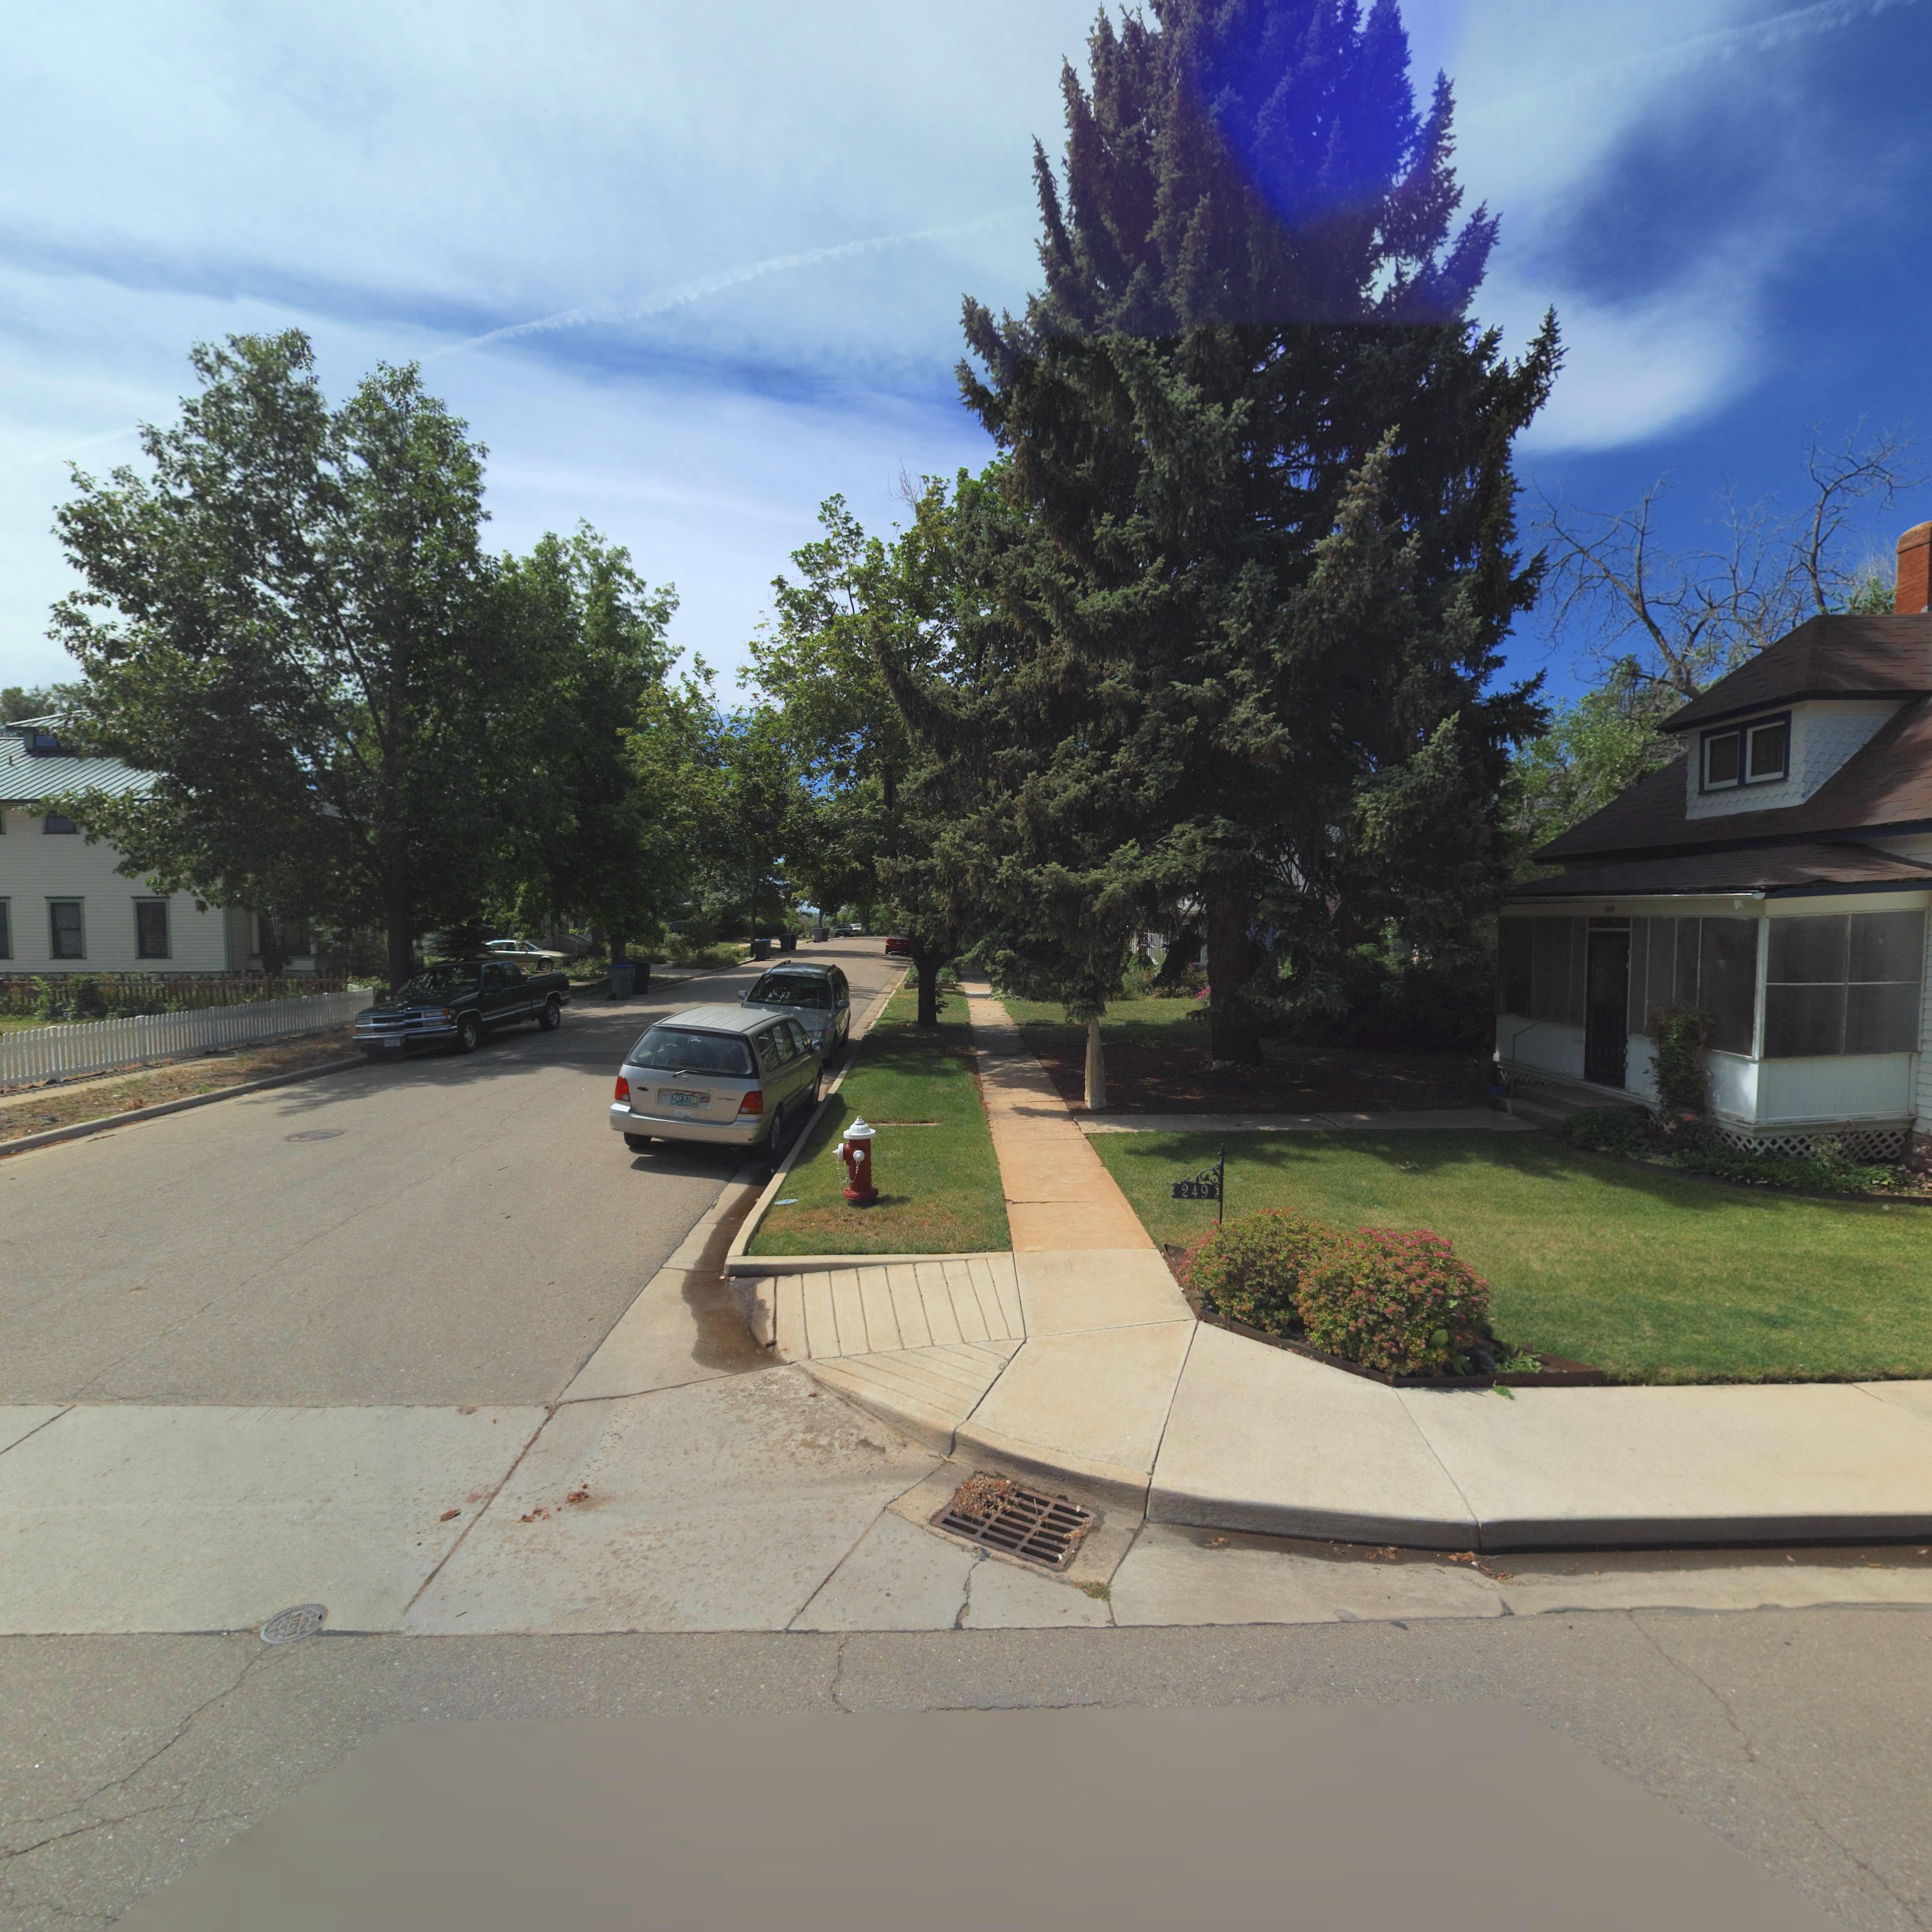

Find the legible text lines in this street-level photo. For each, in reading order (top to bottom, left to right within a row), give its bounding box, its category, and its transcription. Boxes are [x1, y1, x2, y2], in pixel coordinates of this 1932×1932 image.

[1604, 906, 1615, 913] StreetNumber: 249
[1181, 1184, 1208, 1198] StreetNumber: 249